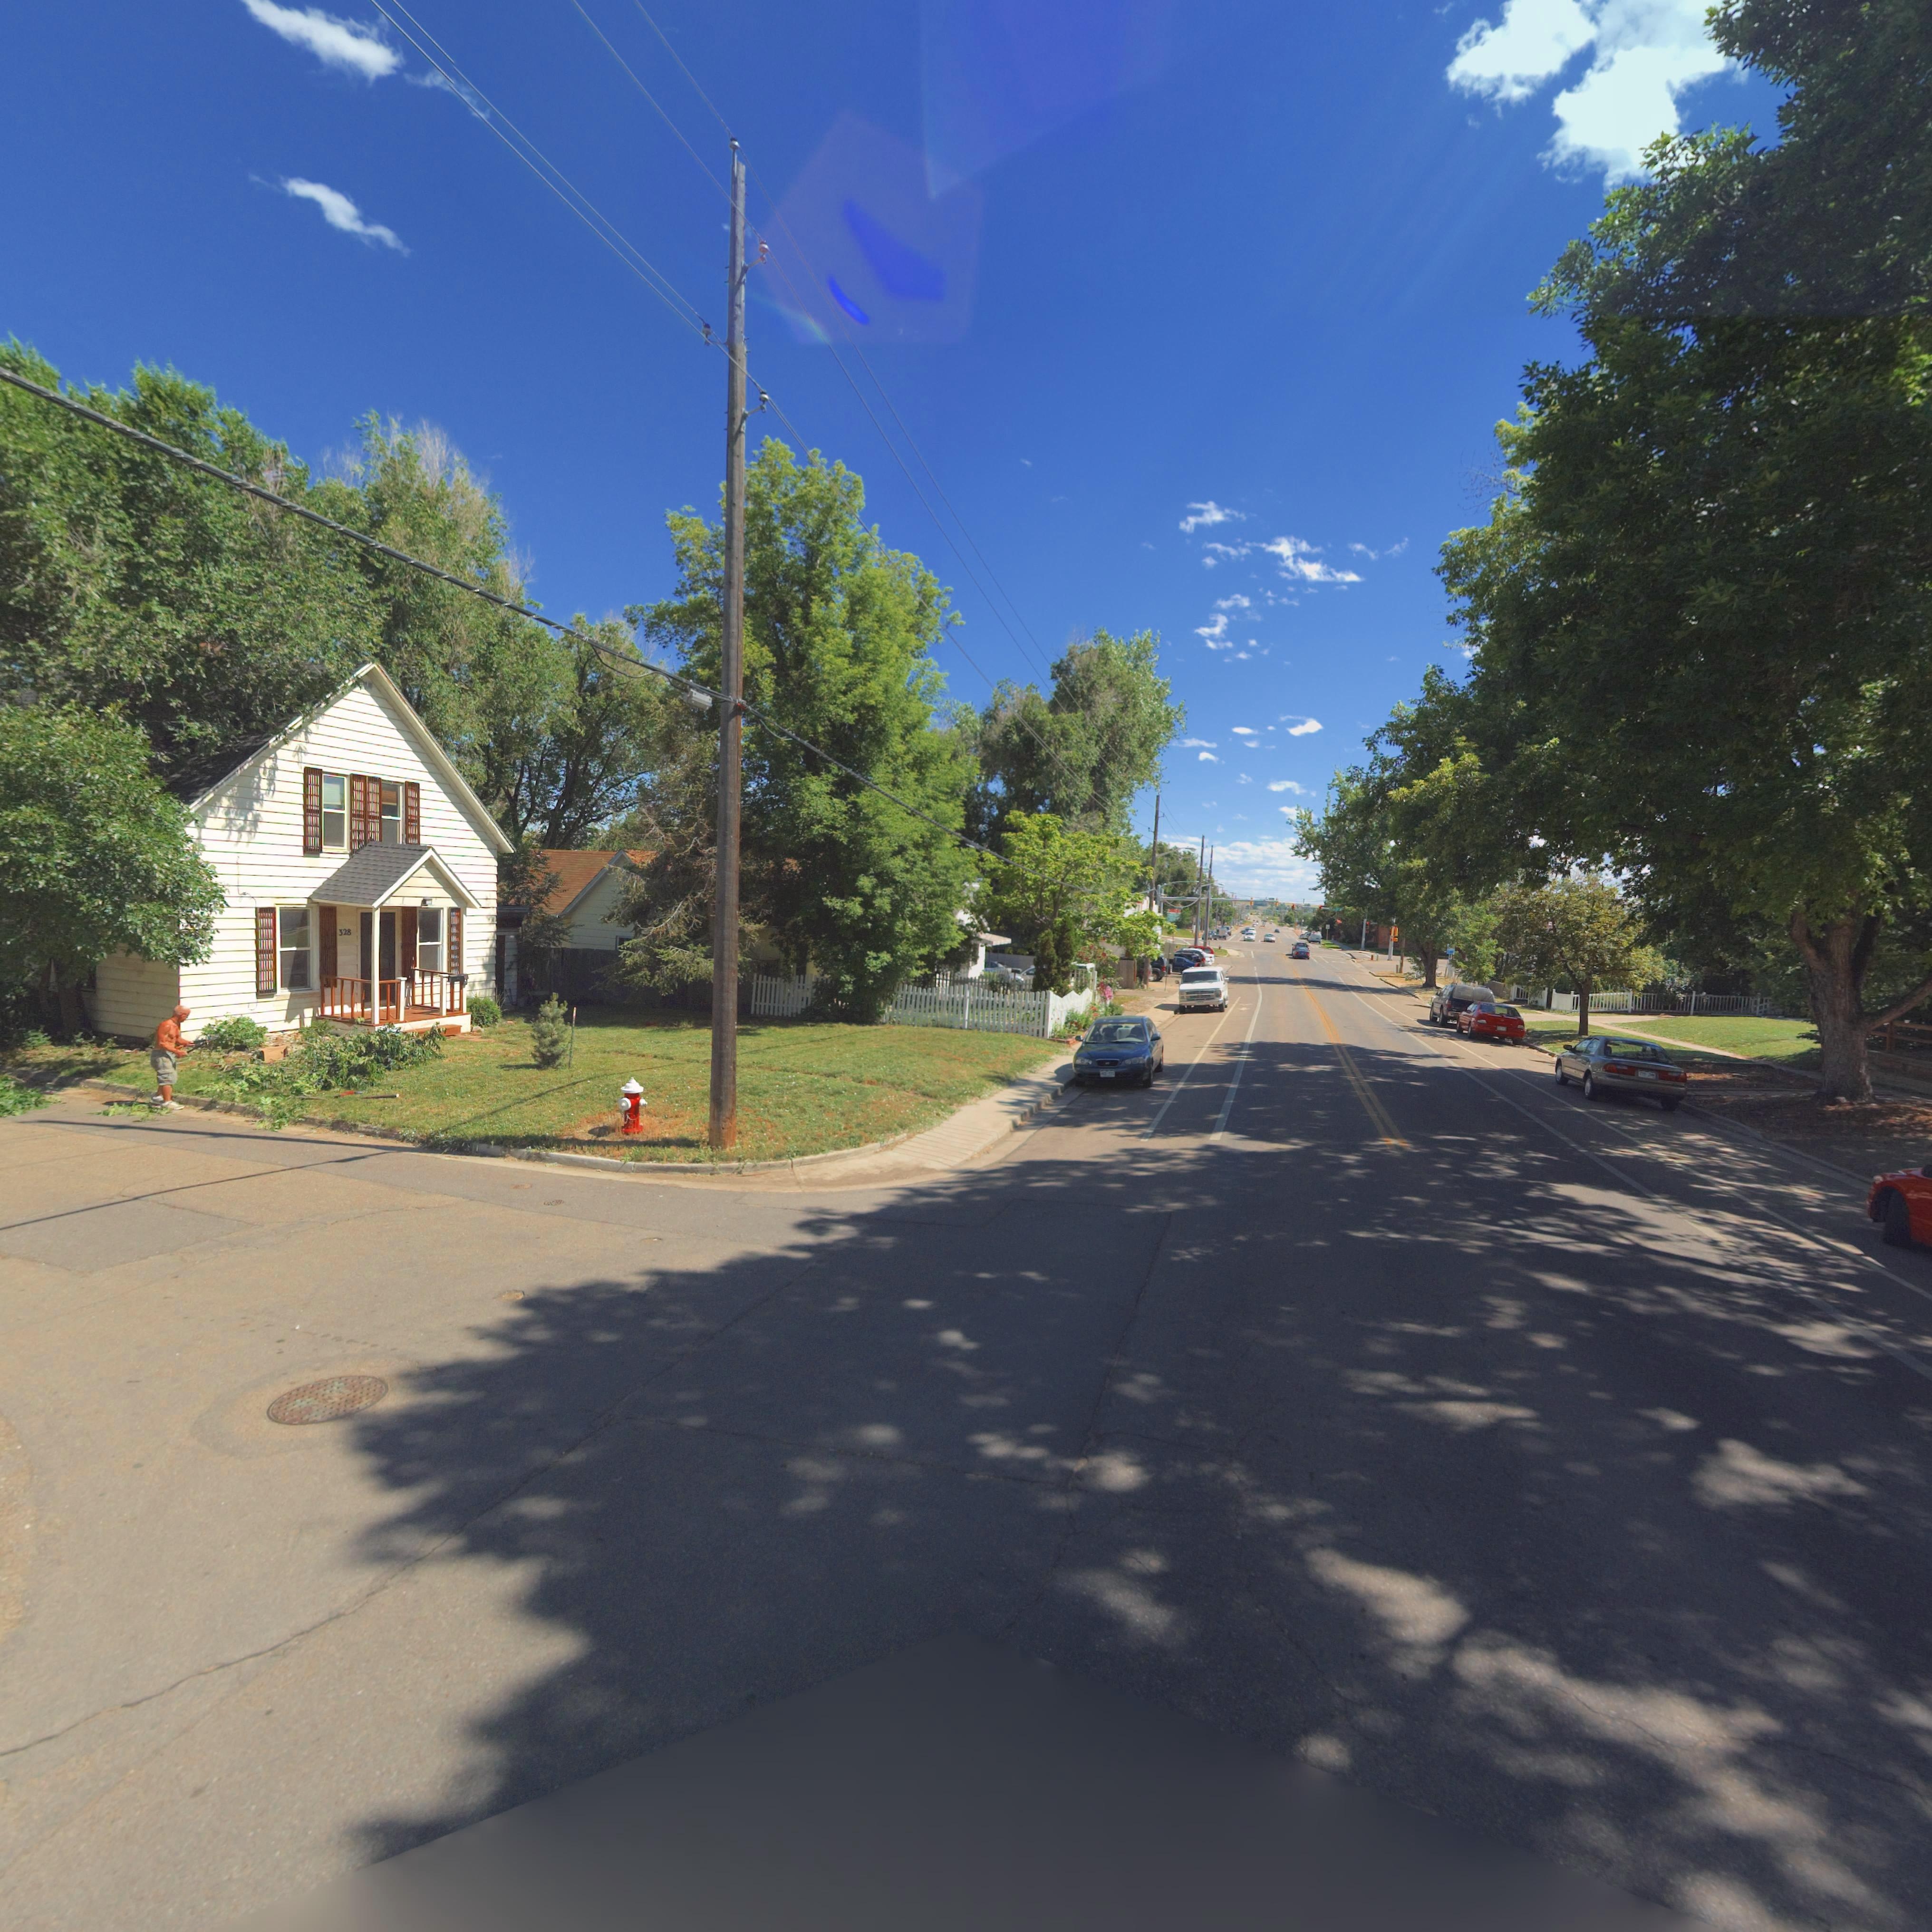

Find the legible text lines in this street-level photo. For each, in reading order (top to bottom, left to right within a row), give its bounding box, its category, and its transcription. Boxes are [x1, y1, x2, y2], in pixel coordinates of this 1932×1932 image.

[338, 928, 351, 936] StreetNumber: 328